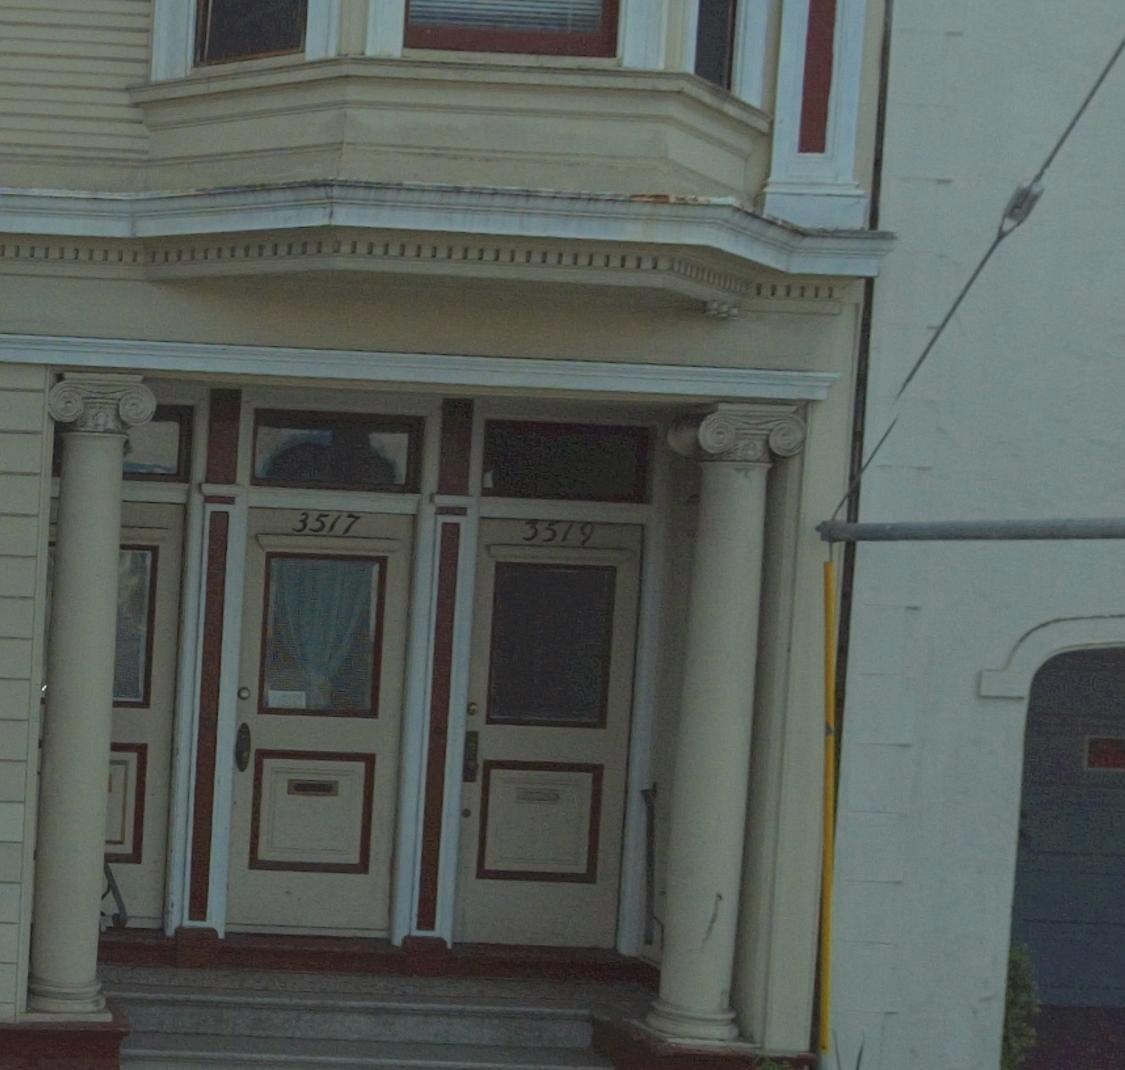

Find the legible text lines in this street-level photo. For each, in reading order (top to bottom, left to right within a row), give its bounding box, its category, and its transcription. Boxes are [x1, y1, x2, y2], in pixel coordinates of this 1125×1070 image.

[288, 511, 367, 535] StreetNumber: 3517
[521, 519, 596, 547] StreetNumber: 3519